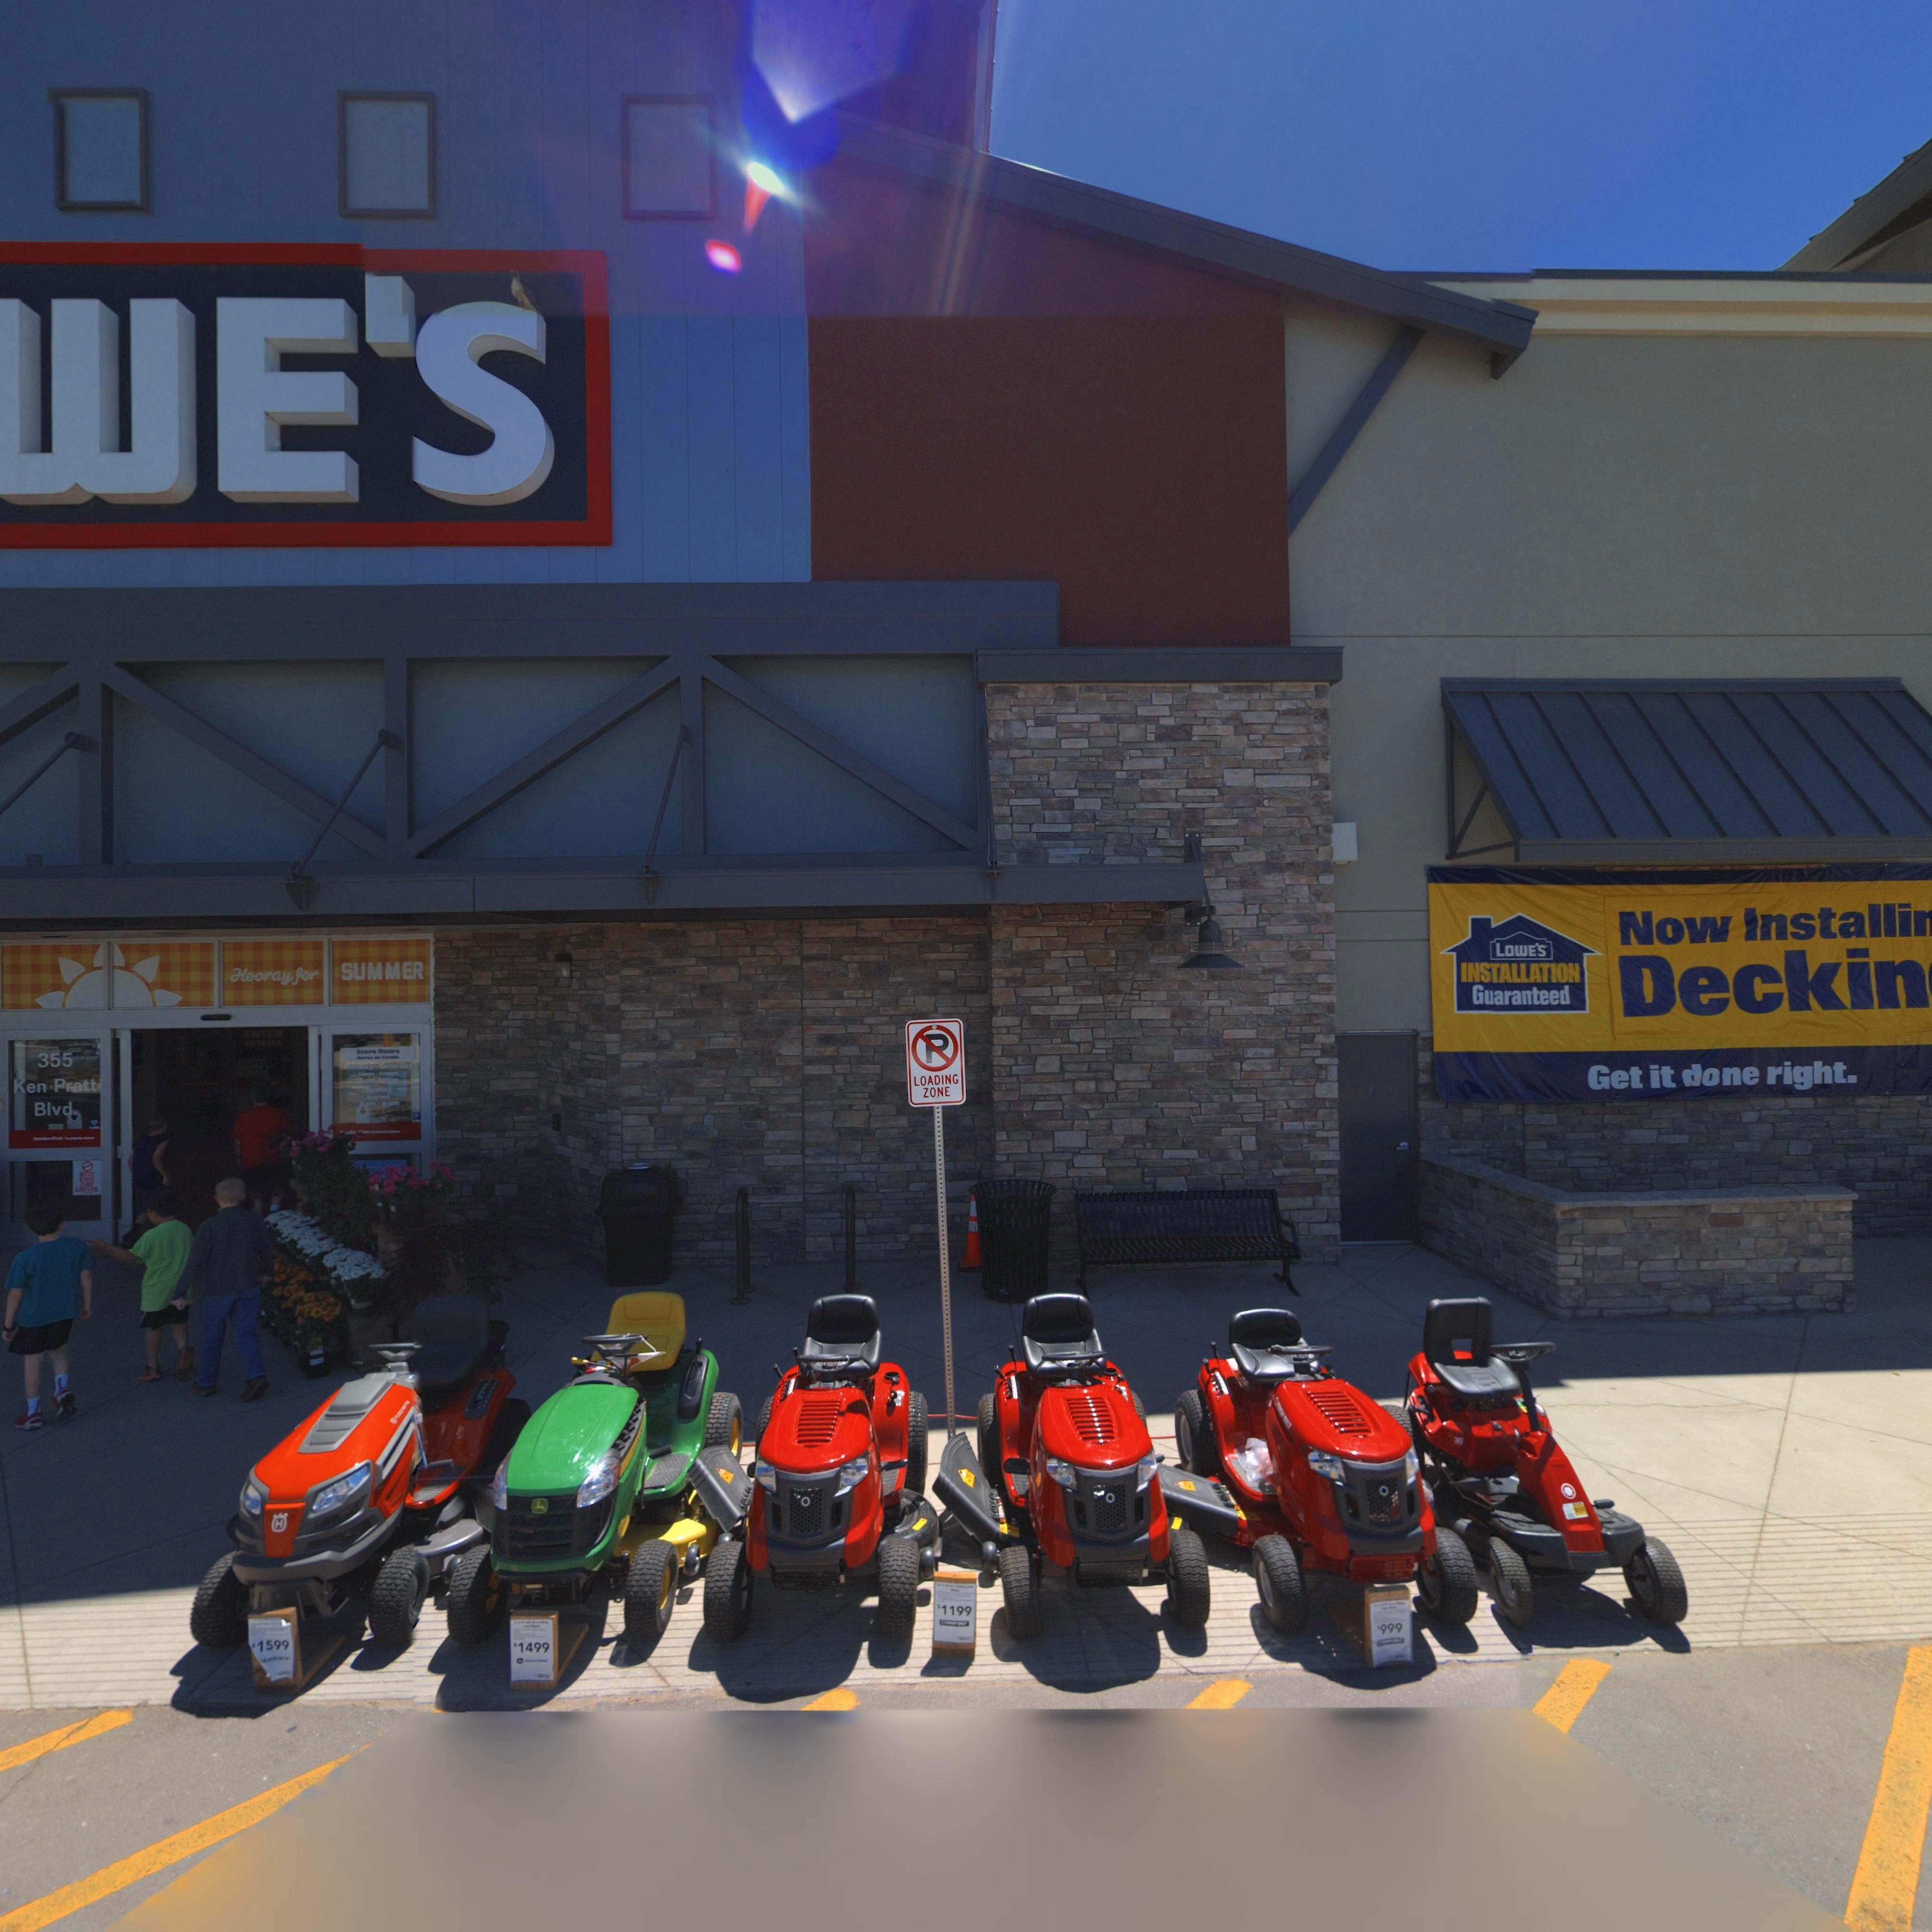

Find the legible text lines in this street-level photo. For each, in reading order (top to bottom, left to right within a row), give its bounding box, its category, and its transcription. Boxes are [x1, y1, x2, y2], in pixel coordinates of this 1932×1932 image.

[205, 264, 570, 510] BusinessName: E'S
[1495, 942, 1547, 957] BusinessName: LOWE'S
[36, 1052, 74, 1069] StreetNumber: 355
[13, 1078, 98, 1093] StreetName: Ken Pratt
[34, 1100, 73, 1116] StreetName: Blvd